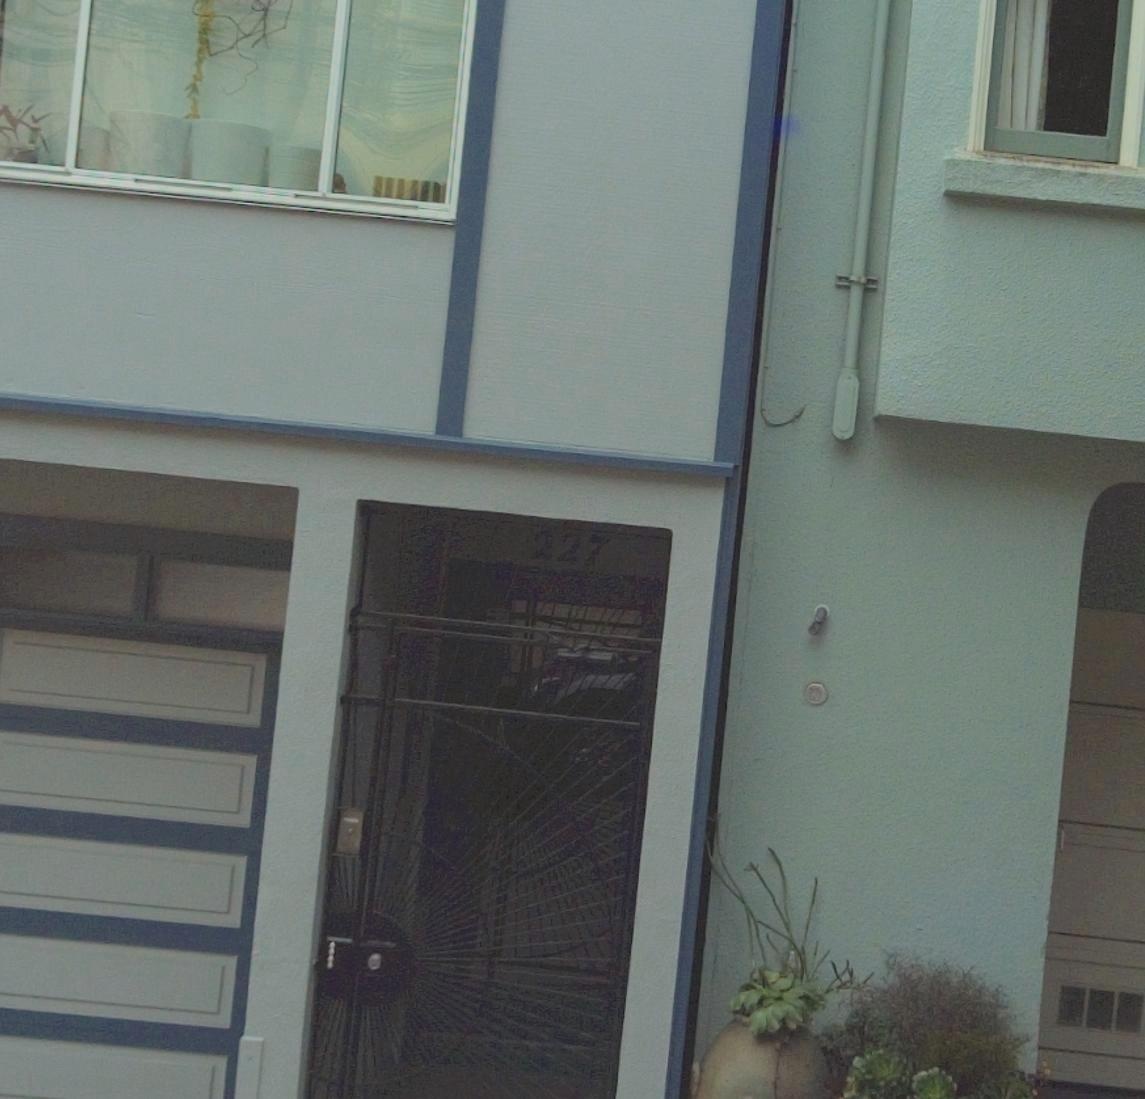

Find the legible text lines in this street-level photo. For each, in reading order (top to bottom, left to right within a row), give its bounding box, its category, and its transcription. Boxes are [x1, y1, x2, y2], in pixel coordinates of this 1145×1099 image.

[525, 525, 618, 569] StreetNumber: 227